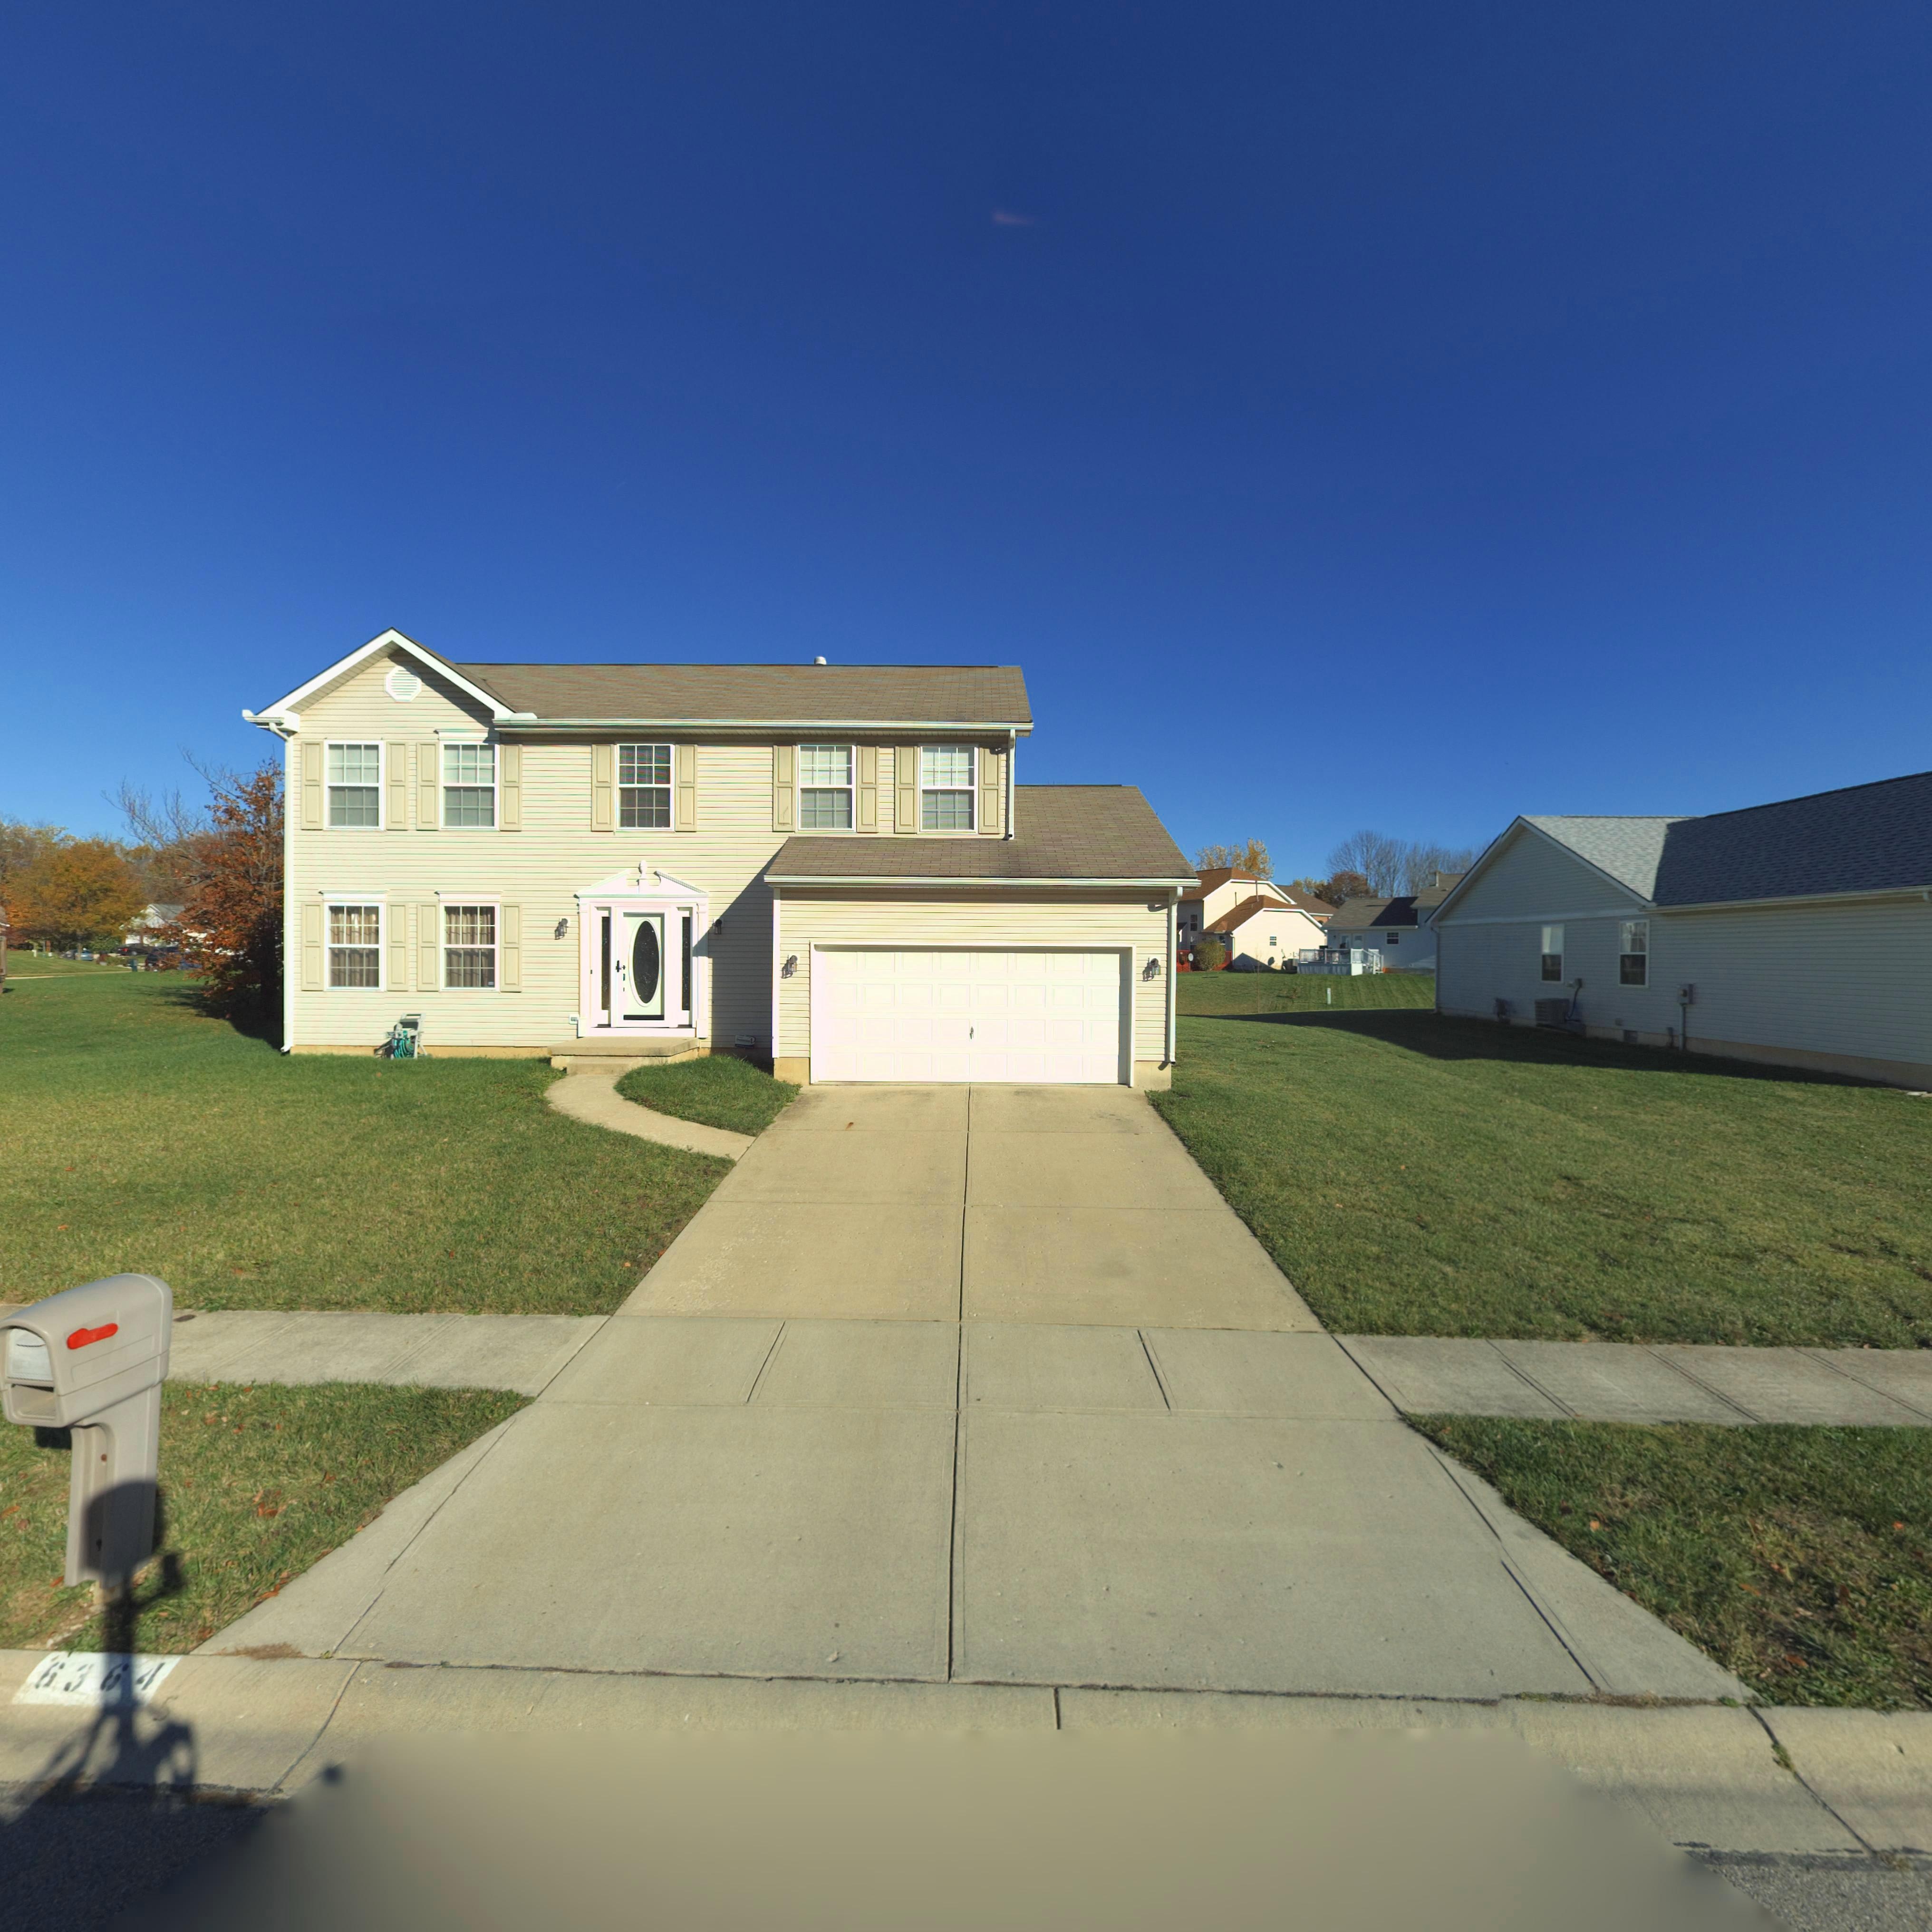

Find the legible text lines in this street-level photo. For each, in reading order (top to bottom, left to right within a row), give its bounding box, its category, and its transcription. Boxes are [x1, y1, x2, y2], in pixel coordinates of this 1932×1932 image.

[34, 1661, 168, 1692] StreetNumber: 6364